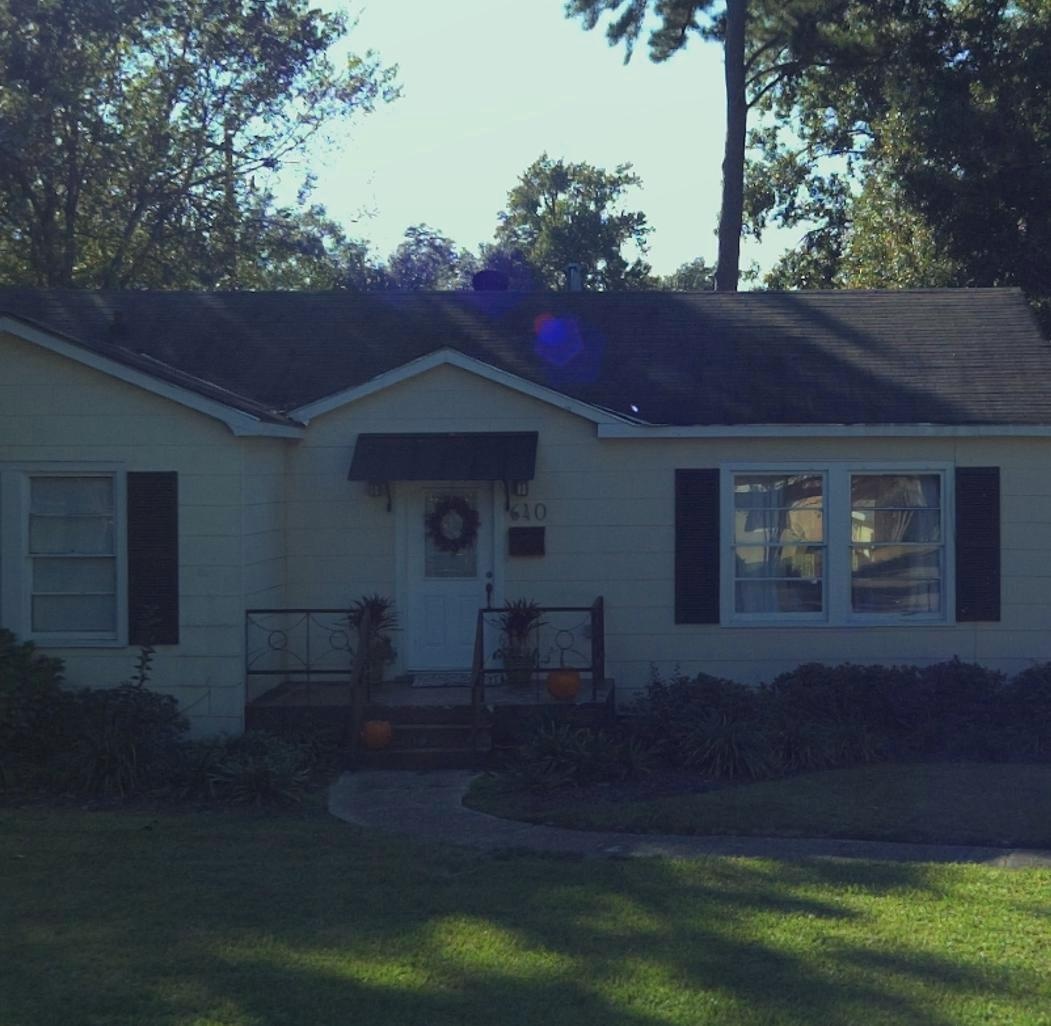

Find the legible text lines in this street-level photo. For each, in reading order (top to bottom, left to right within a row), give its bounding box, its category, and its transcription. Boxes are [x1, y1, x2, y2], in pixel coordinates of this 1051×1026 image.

[509, 501, 547, 522] StreetNumber: 640